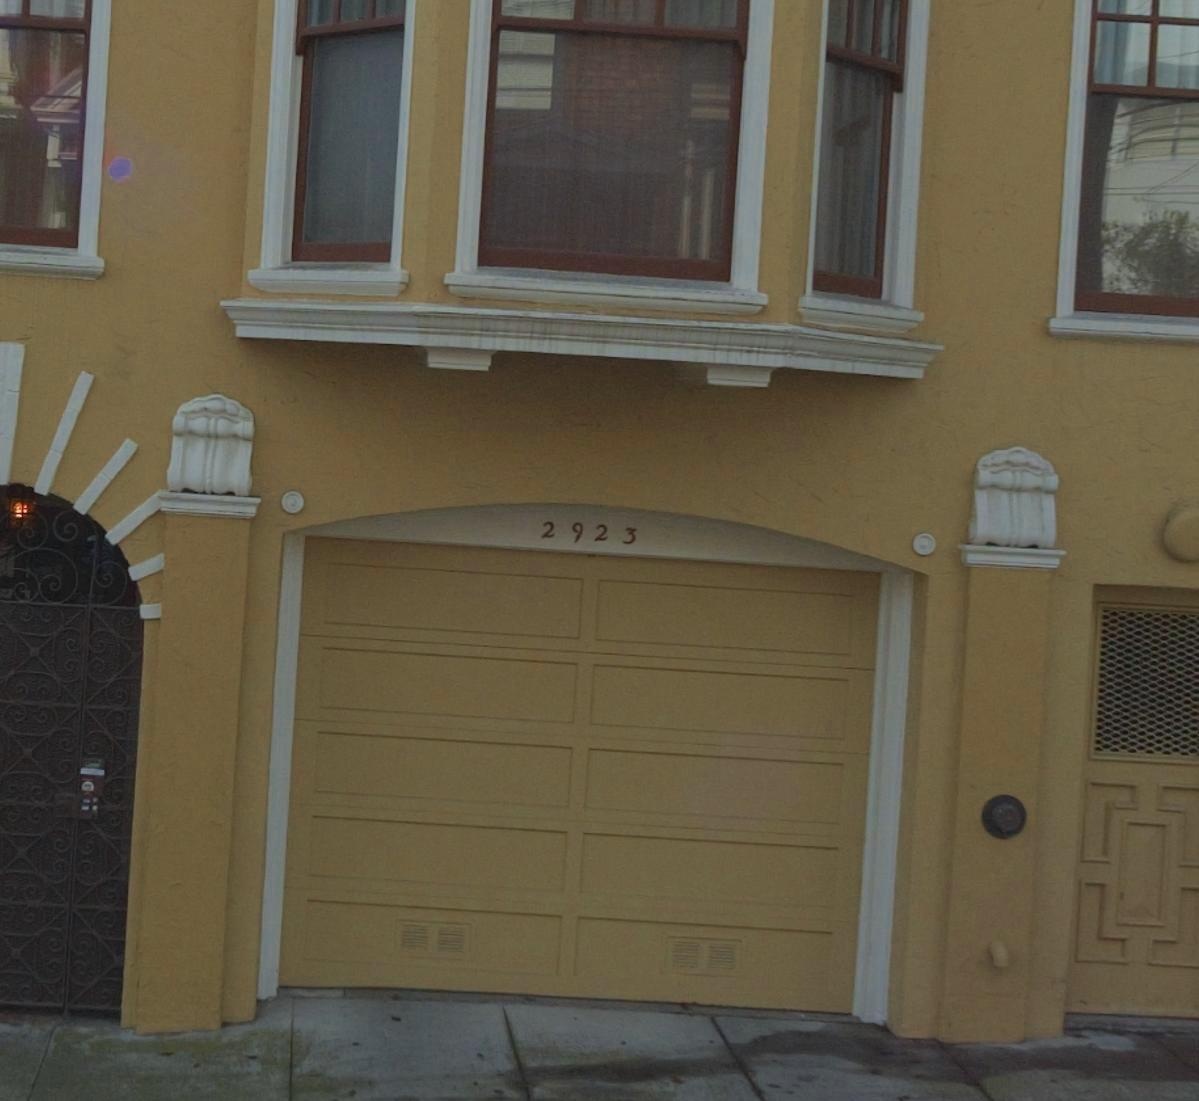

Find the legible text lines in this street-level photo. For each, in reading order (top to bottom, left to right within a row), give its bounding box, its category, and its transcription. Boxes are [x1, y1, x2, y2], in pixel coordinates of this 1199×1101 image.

[534, 517, 642, 547] StreetNumber: 2923